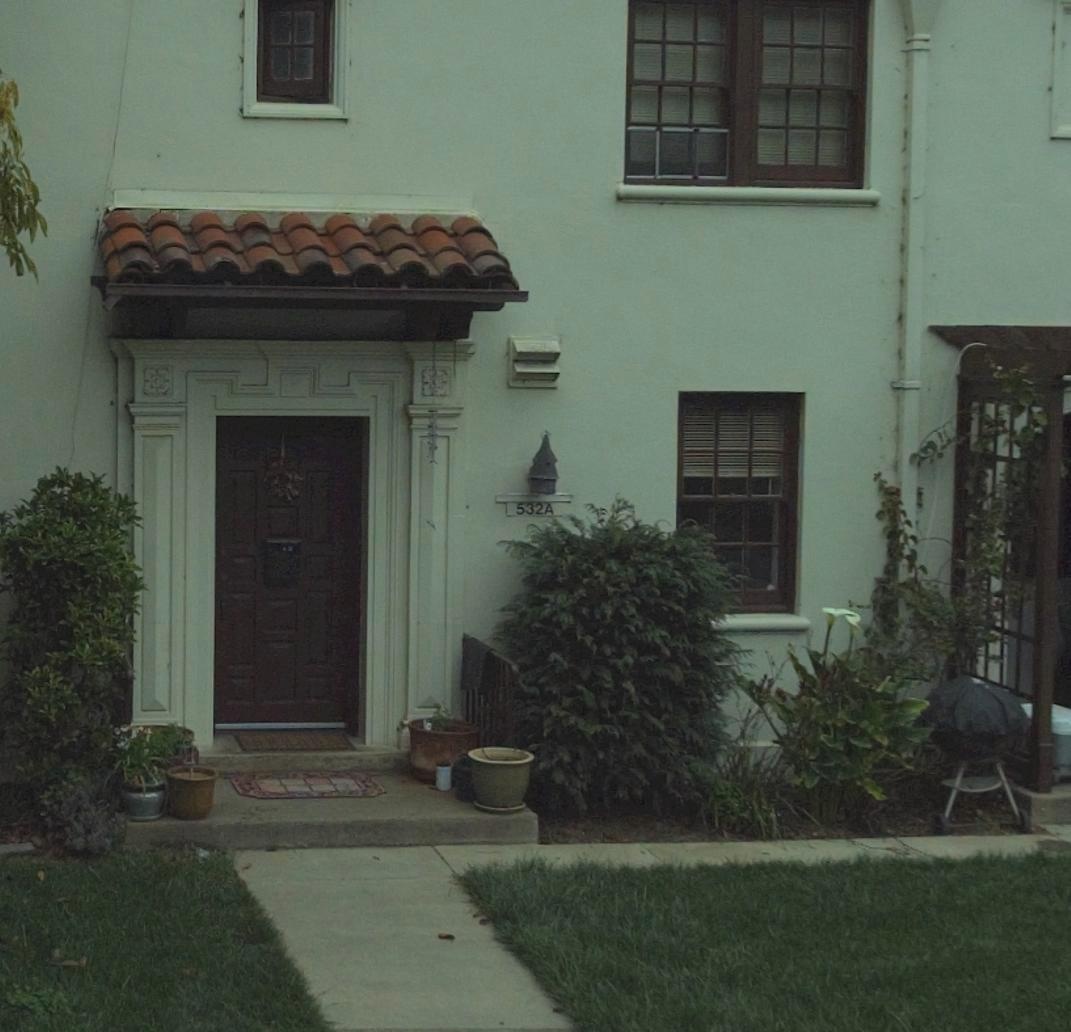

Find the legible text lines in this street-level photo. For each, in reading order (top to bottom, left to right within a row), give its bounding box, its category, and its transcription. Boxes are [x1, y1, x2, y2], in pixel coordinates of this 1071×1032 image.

[516, 501, 554, 515] StreetNumber: 532A